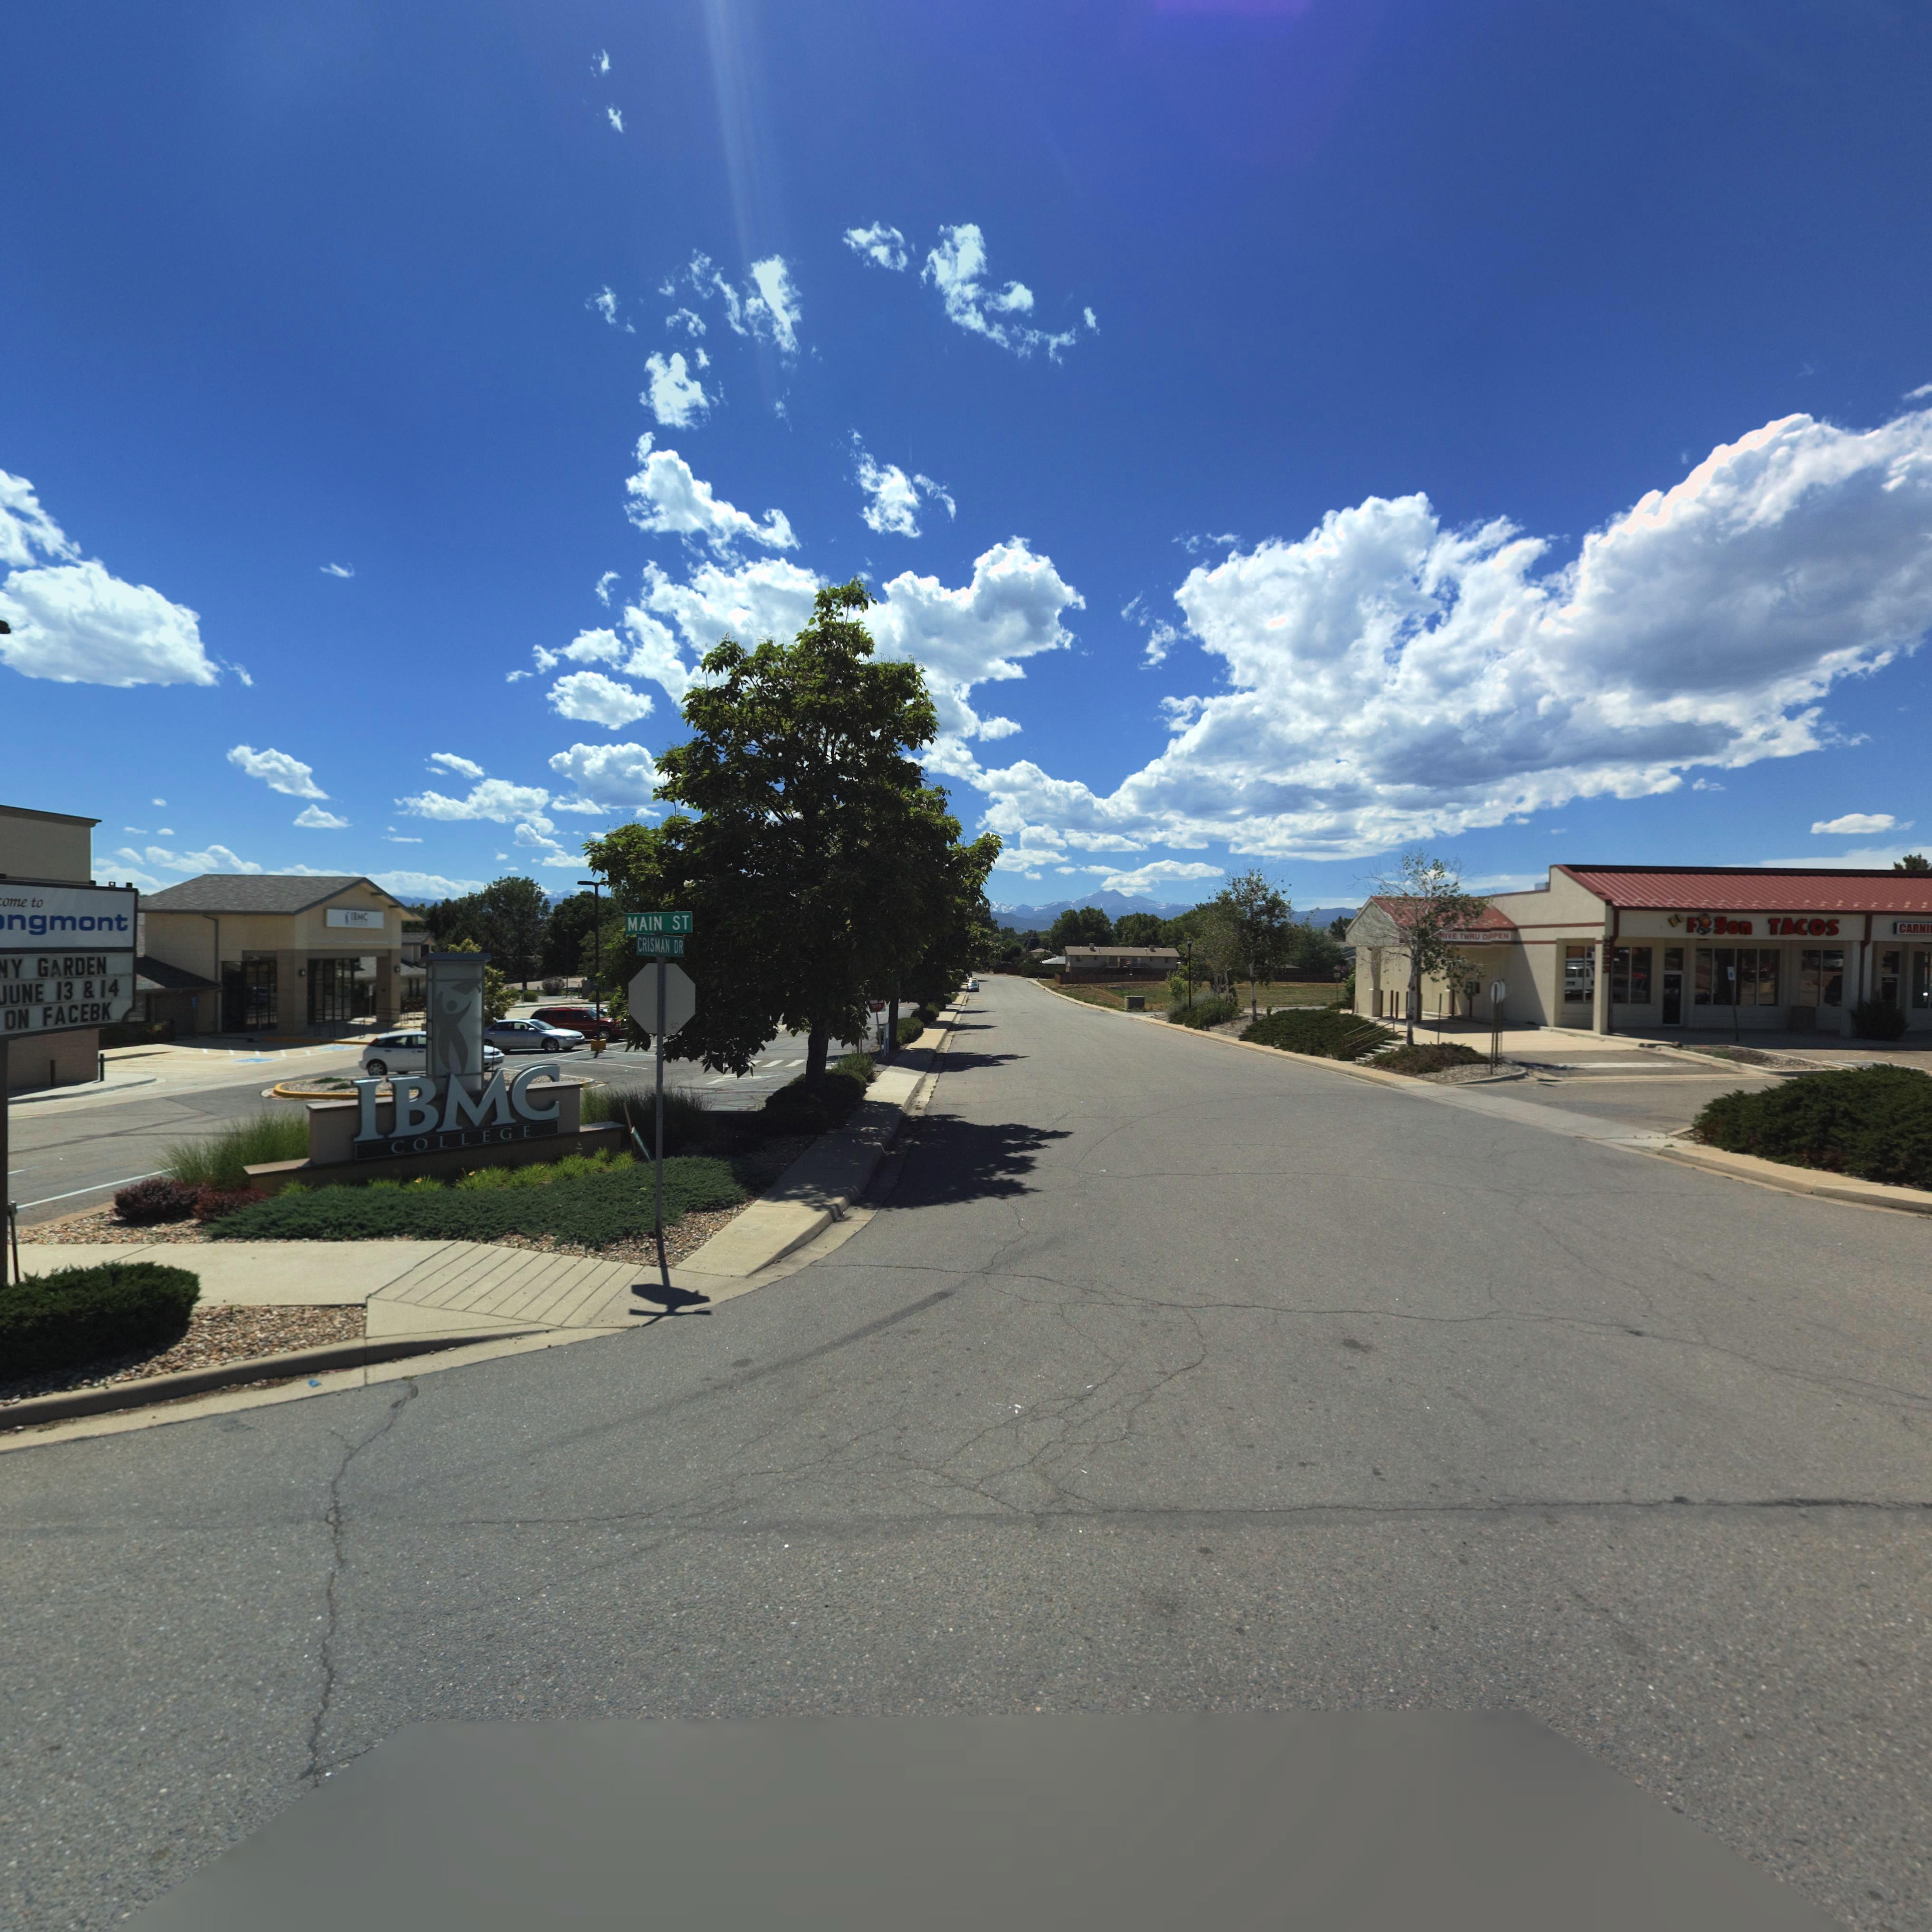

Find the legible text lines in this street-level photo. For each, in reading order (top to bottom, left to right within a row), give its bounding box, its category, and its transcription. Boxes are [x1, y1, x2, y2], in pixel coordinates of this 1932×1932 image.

[350, 911, 367, 920] BusinessName: IBMC
[627, 914, 689, 932] StreetName: MAIN ST
[1668, 912, 1686, 928] BusinessName: EL
[1687, 916, 1839, 936] BusinessName: F*gon TACOS
[1899, 923, 1930, 933] BusinessName: CARNI
[637, 937, 684, 955] StreetName: CRISMAN DR
[349, 1063, 560, 1144] BusinessName: IBMC
[390, 1124, 532, 1155] BusinessName: COLLEGE